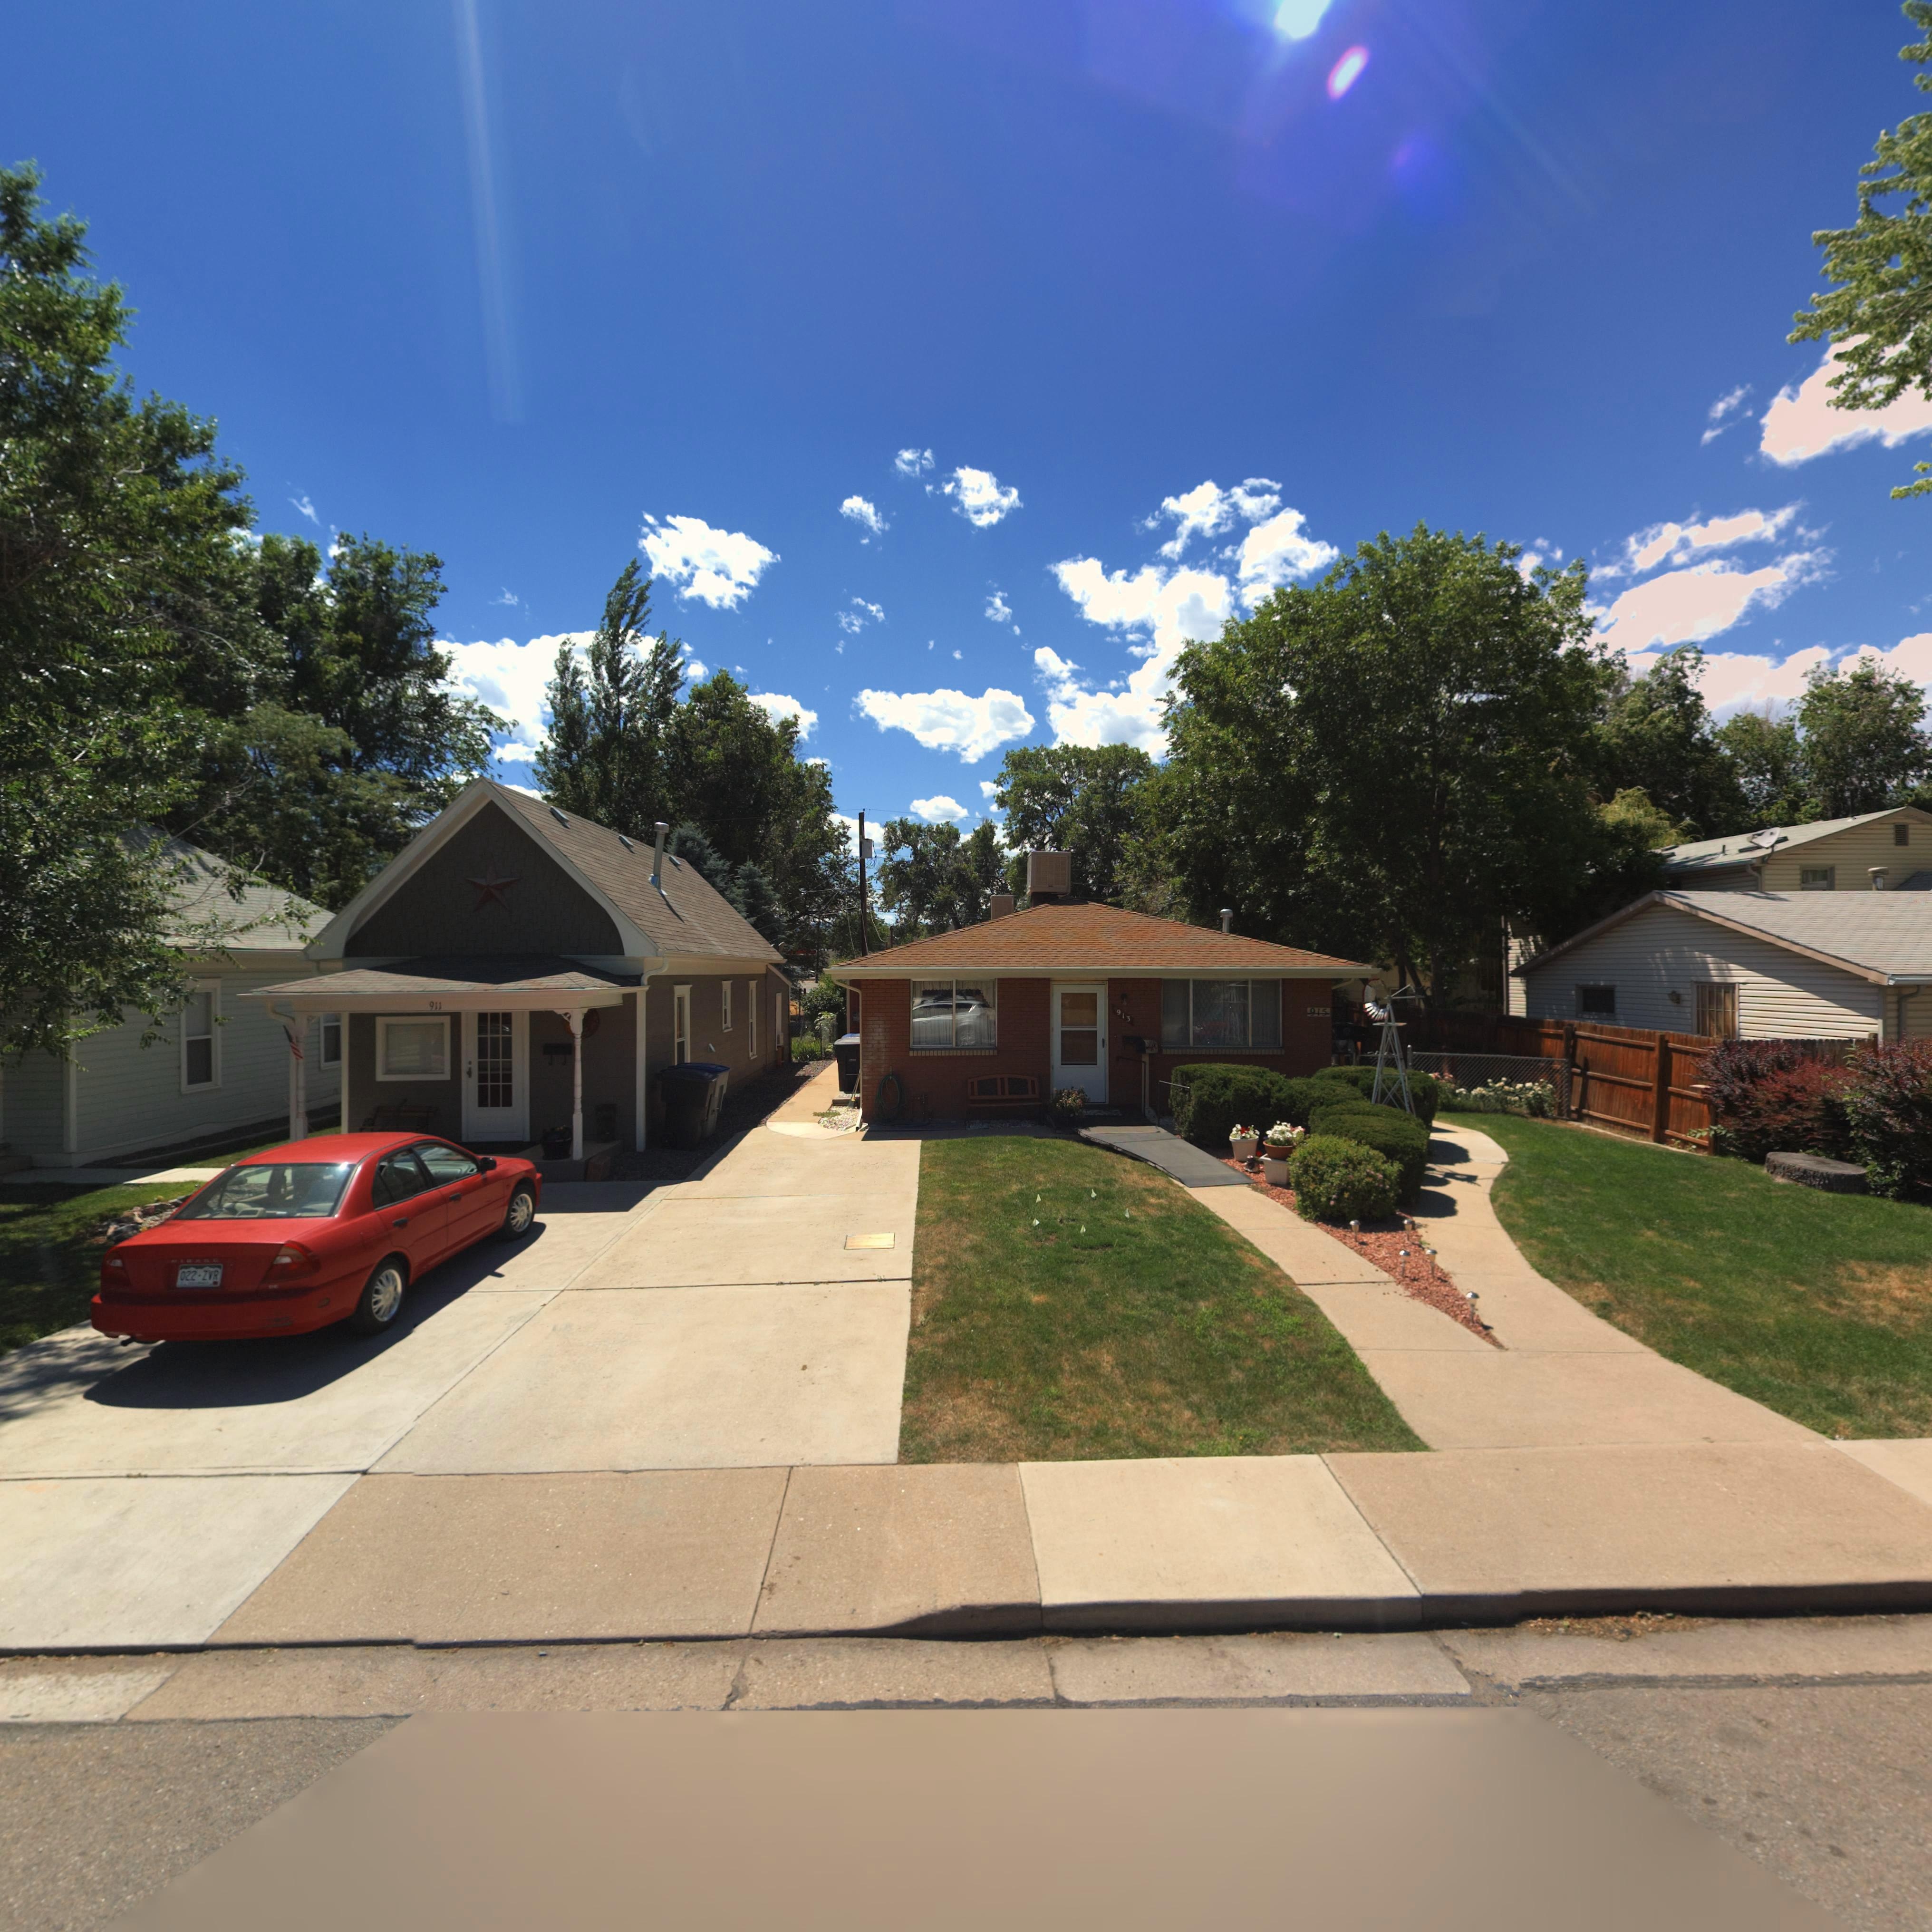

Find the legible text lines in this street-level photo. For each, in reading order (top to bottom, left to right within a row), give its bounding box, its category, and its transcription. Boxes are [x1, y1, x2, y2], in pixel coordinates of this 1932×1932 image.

[429, 1001, 442, 1010] StreetNumber: 911
[1115, 1009, 1130, 1022] StreetNumber: 913
[1309, 1007, 1327, 1016] StreetNumber: 915